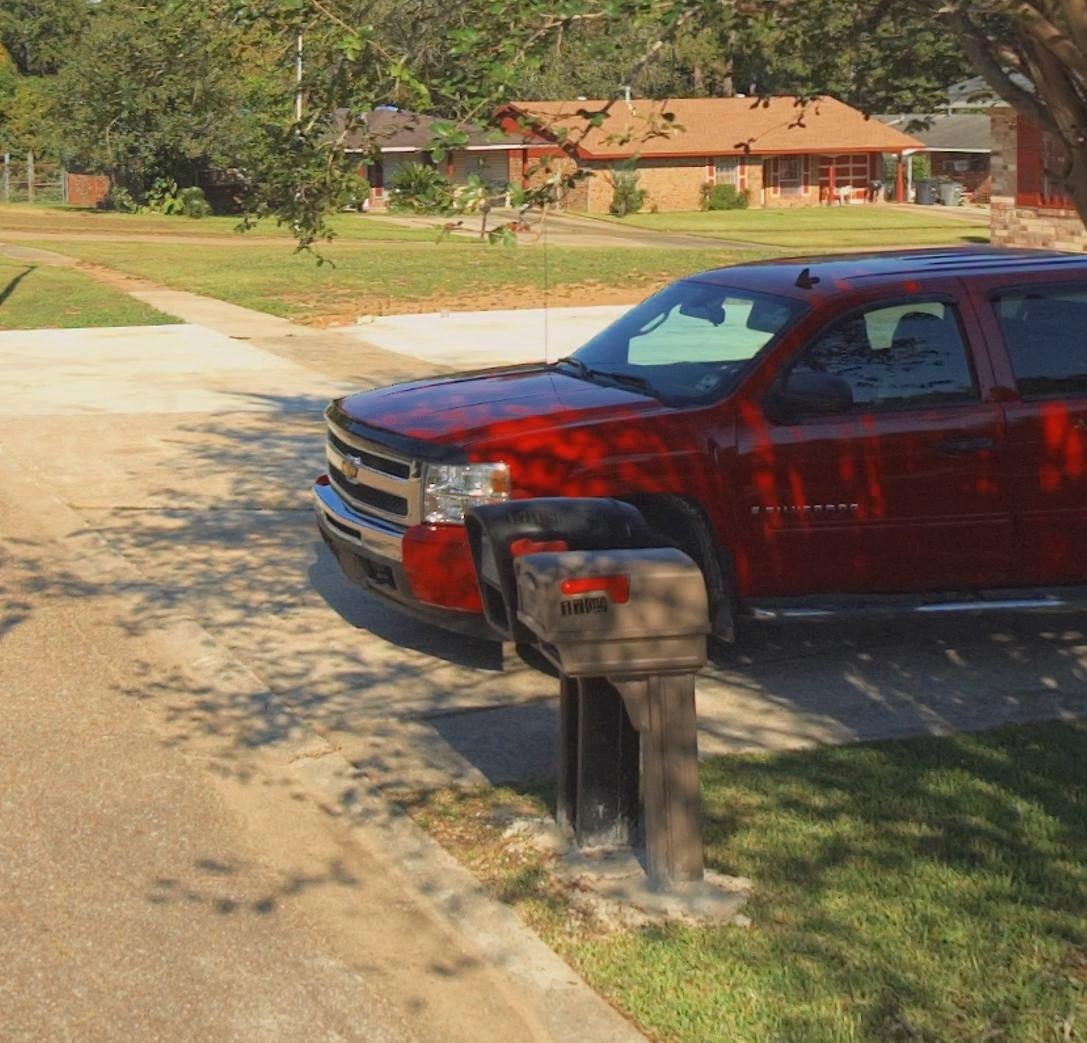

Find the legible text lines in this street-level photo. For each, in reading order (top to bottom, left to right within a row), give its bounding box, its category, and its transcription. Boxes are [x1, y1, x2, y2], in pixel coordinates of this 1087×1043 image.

[765, 502, 860, 515] None: SILVERADO
[503, 509, 557, 524] StreetNumber: 1718
[562, 596, 606, 617] StreetNumber: 1709